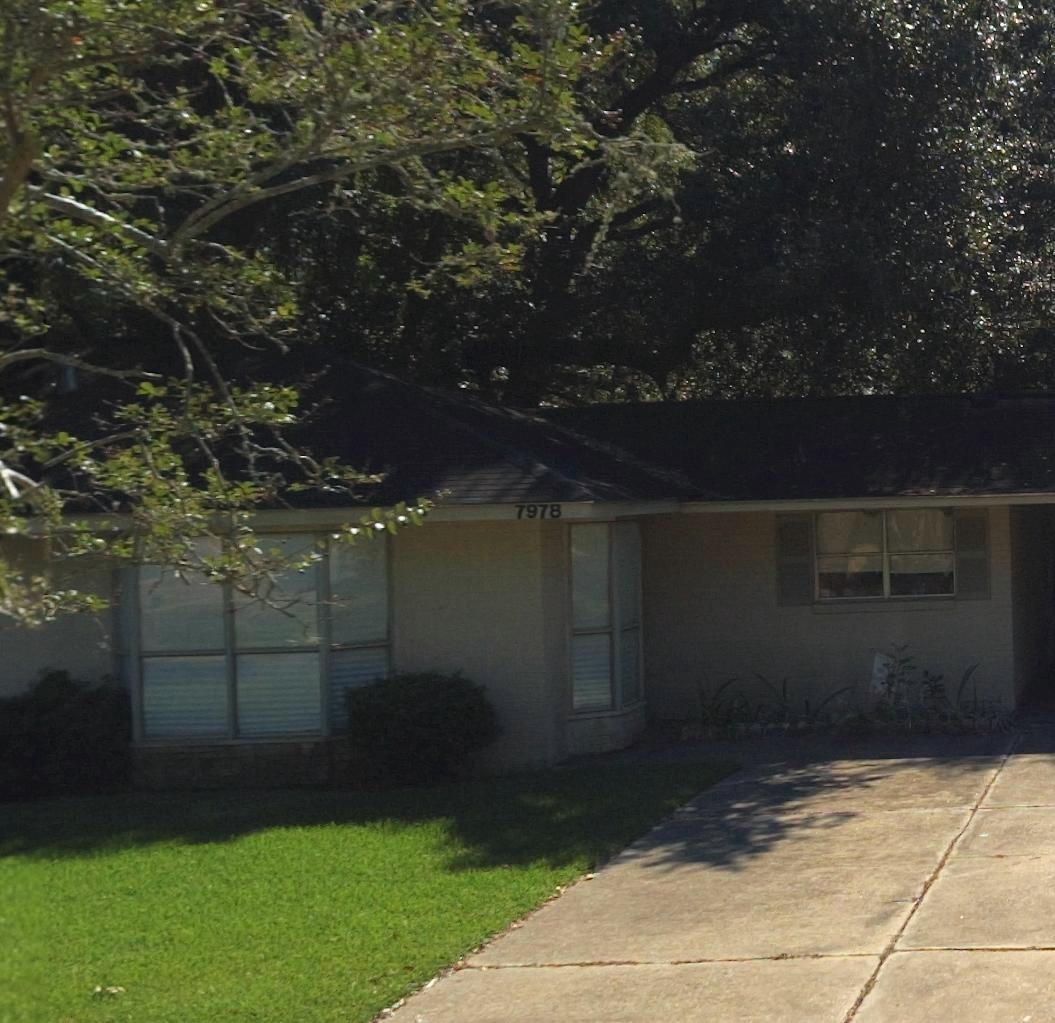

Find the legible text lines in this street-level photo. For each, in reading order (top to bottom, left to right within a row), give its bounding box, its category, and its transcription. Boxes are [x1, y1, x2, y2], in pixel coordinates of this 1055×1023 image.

[513, 502, 564, 521] StreetNumber: 7978